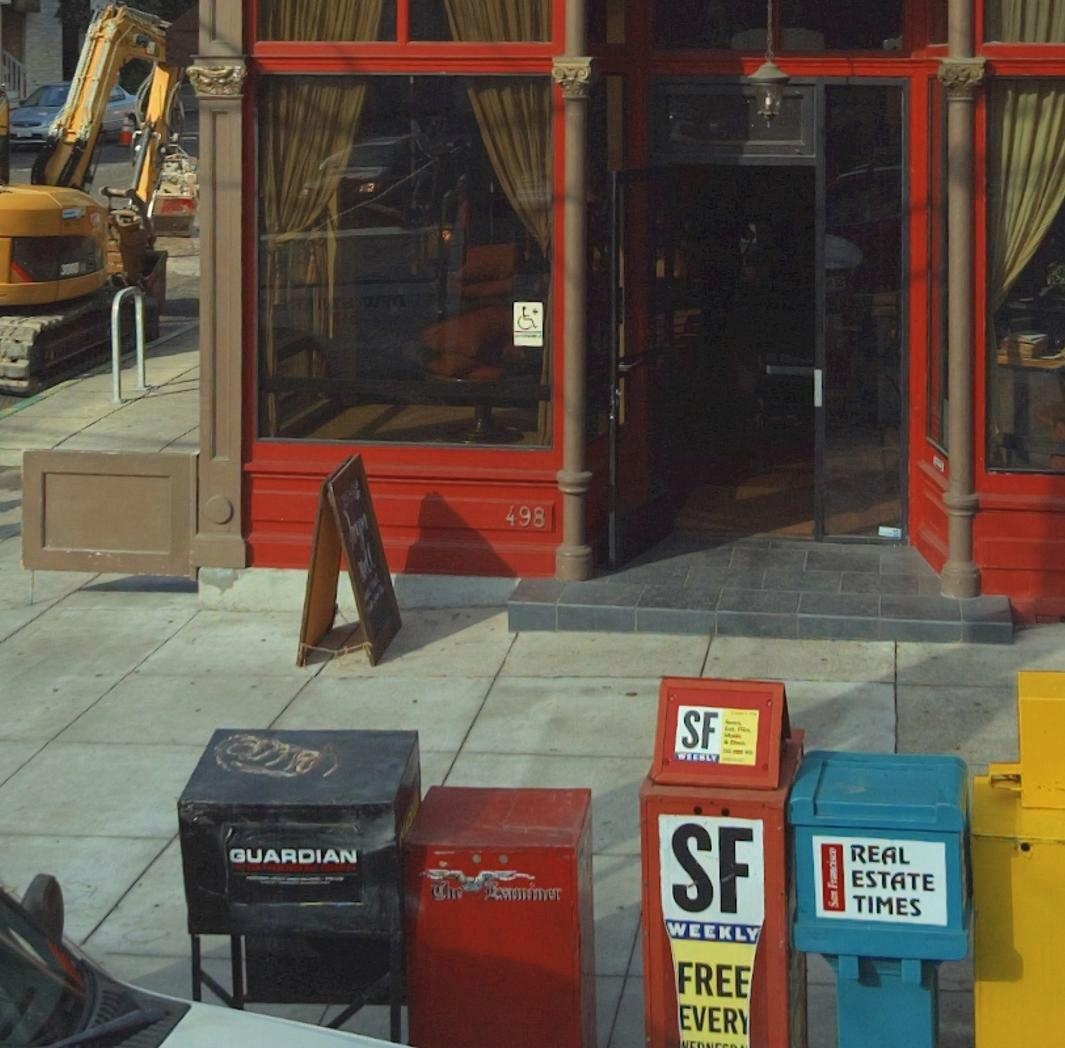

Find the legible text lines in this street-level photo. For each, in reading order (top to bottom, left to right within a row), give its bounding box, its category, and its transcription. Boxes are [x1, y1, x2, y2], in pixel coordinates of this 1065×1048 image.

[504, 504, 546, 529] StreetNumber: 498
[680, 709, 719, 749] None: SF
[228, 847, 359, 866] None: GUARDIAN
[670, 821, 754, 916] None: SF
[850, 843, 911, 866] None: REAL
[851, 869, 937, 893] None: ESTATE
[851, 893, 923, 918] None: TIMES
[666, 921, 759, 944] None: WEEKLY
[675, 959, 751, 1000] None: FRE*
[676, 1004, 751, 1037] None: EVER*